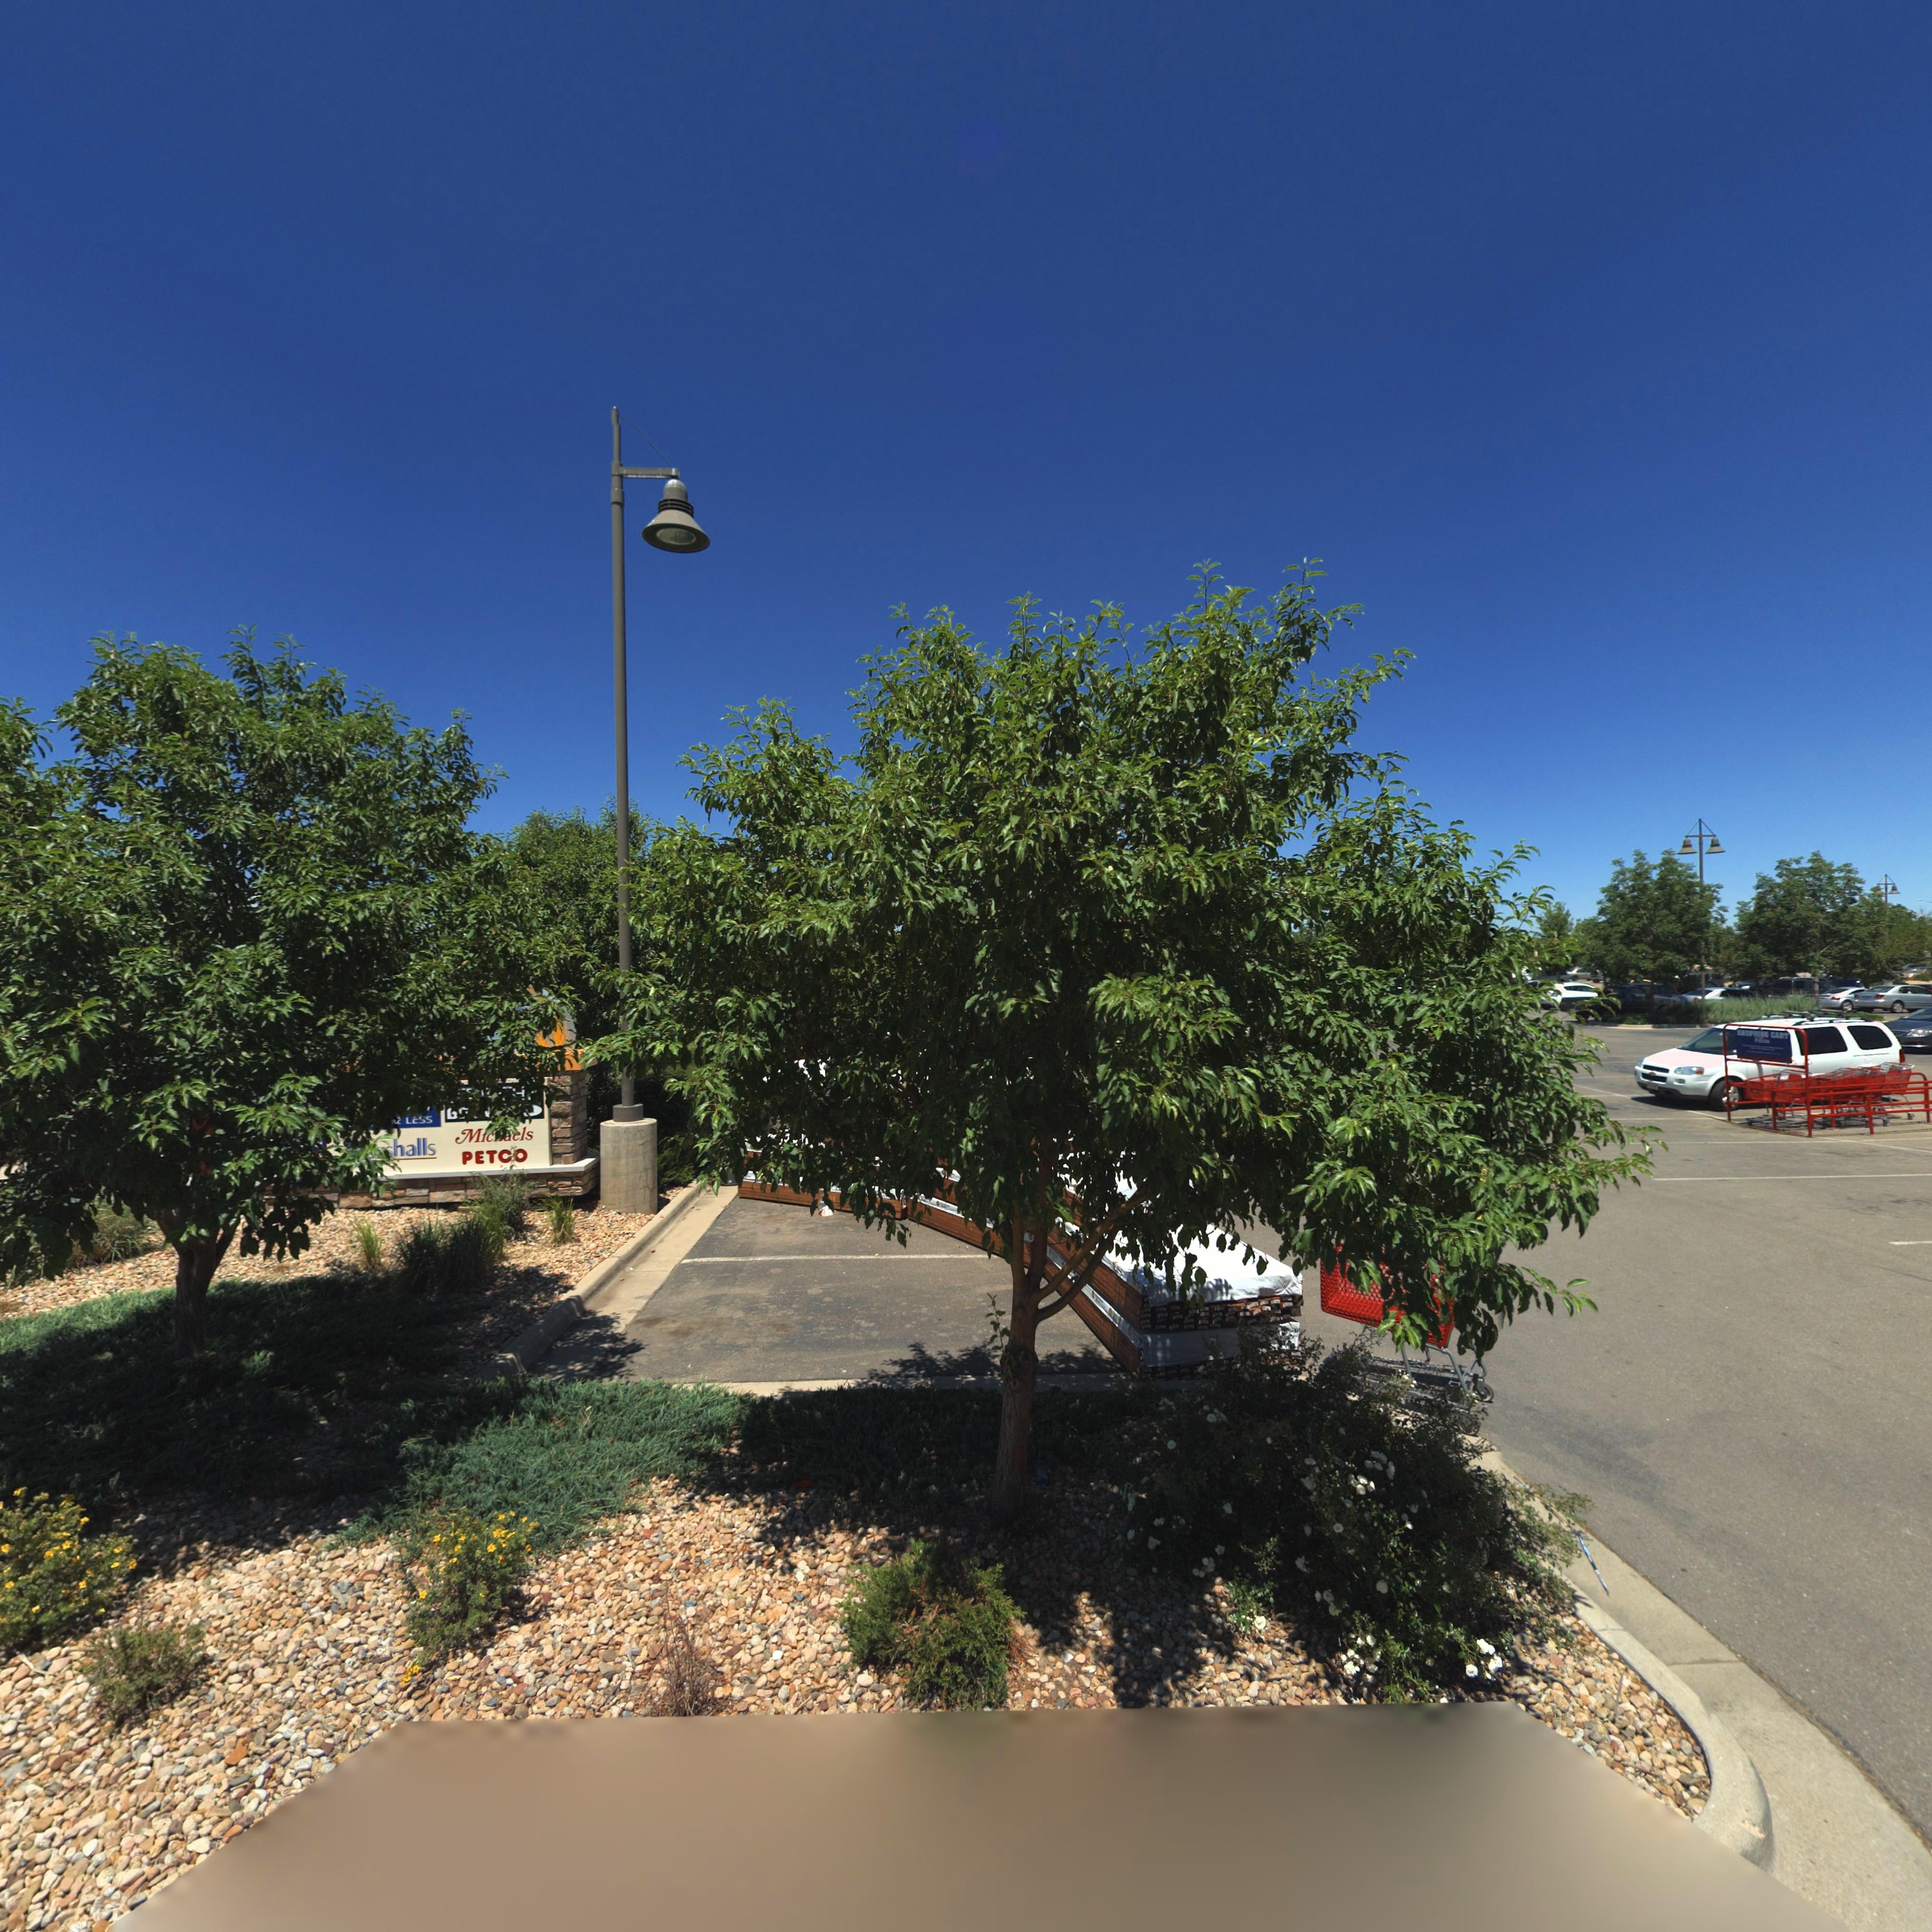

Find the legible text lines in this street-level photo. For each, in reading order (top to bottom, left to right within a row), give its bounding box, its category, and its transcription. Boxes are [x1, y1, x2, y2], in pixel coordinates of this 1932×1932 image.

[406, 1115, 433, 1125] BusinessName: L*SS
[454, 1126, 533, 1145] BusinessName: Mic**els
[393, 1137, 437, 1158] BusinessName: halls
[461, 1148, 529, 1166] BusinessName: PETCO